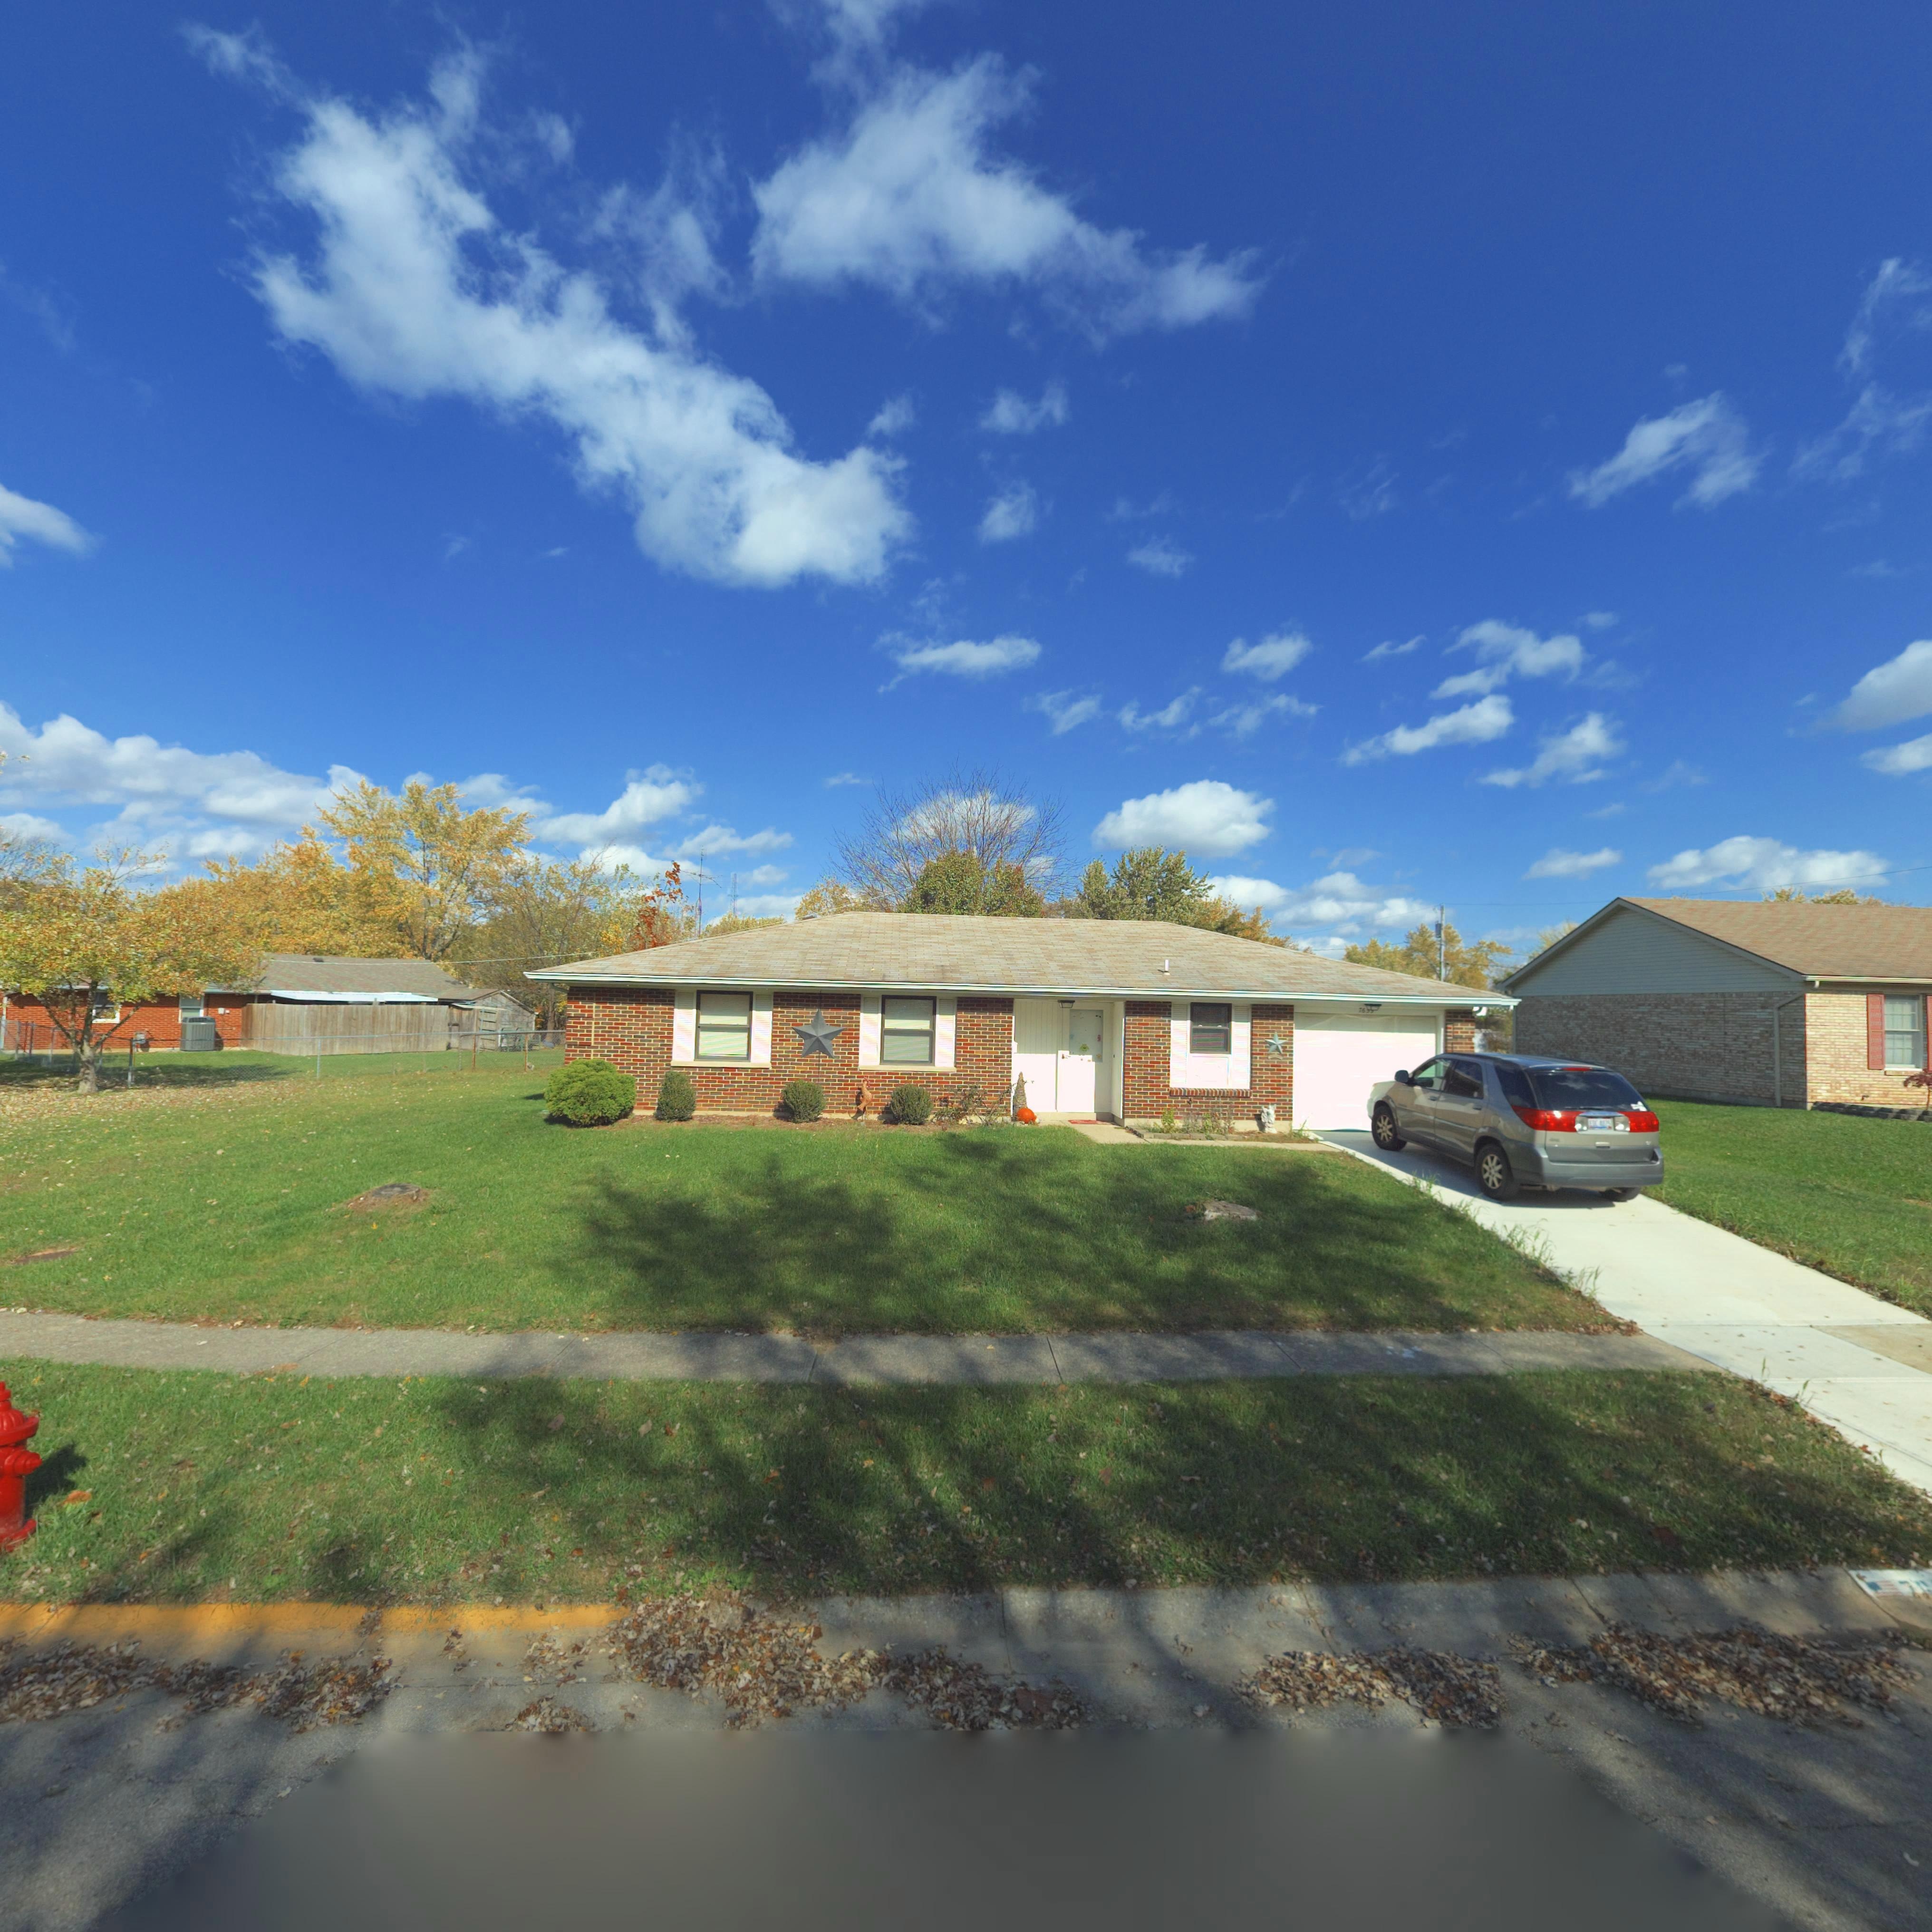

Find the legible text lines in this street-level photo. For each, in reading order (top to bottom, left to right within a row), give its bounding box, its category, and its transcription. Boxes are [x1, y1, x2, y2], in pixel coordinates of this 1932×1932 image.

[1358, 1007, 1366, 1014] StreetNumber: 76
[1896, 1580, 1918, 1599] StreetNumber: 7